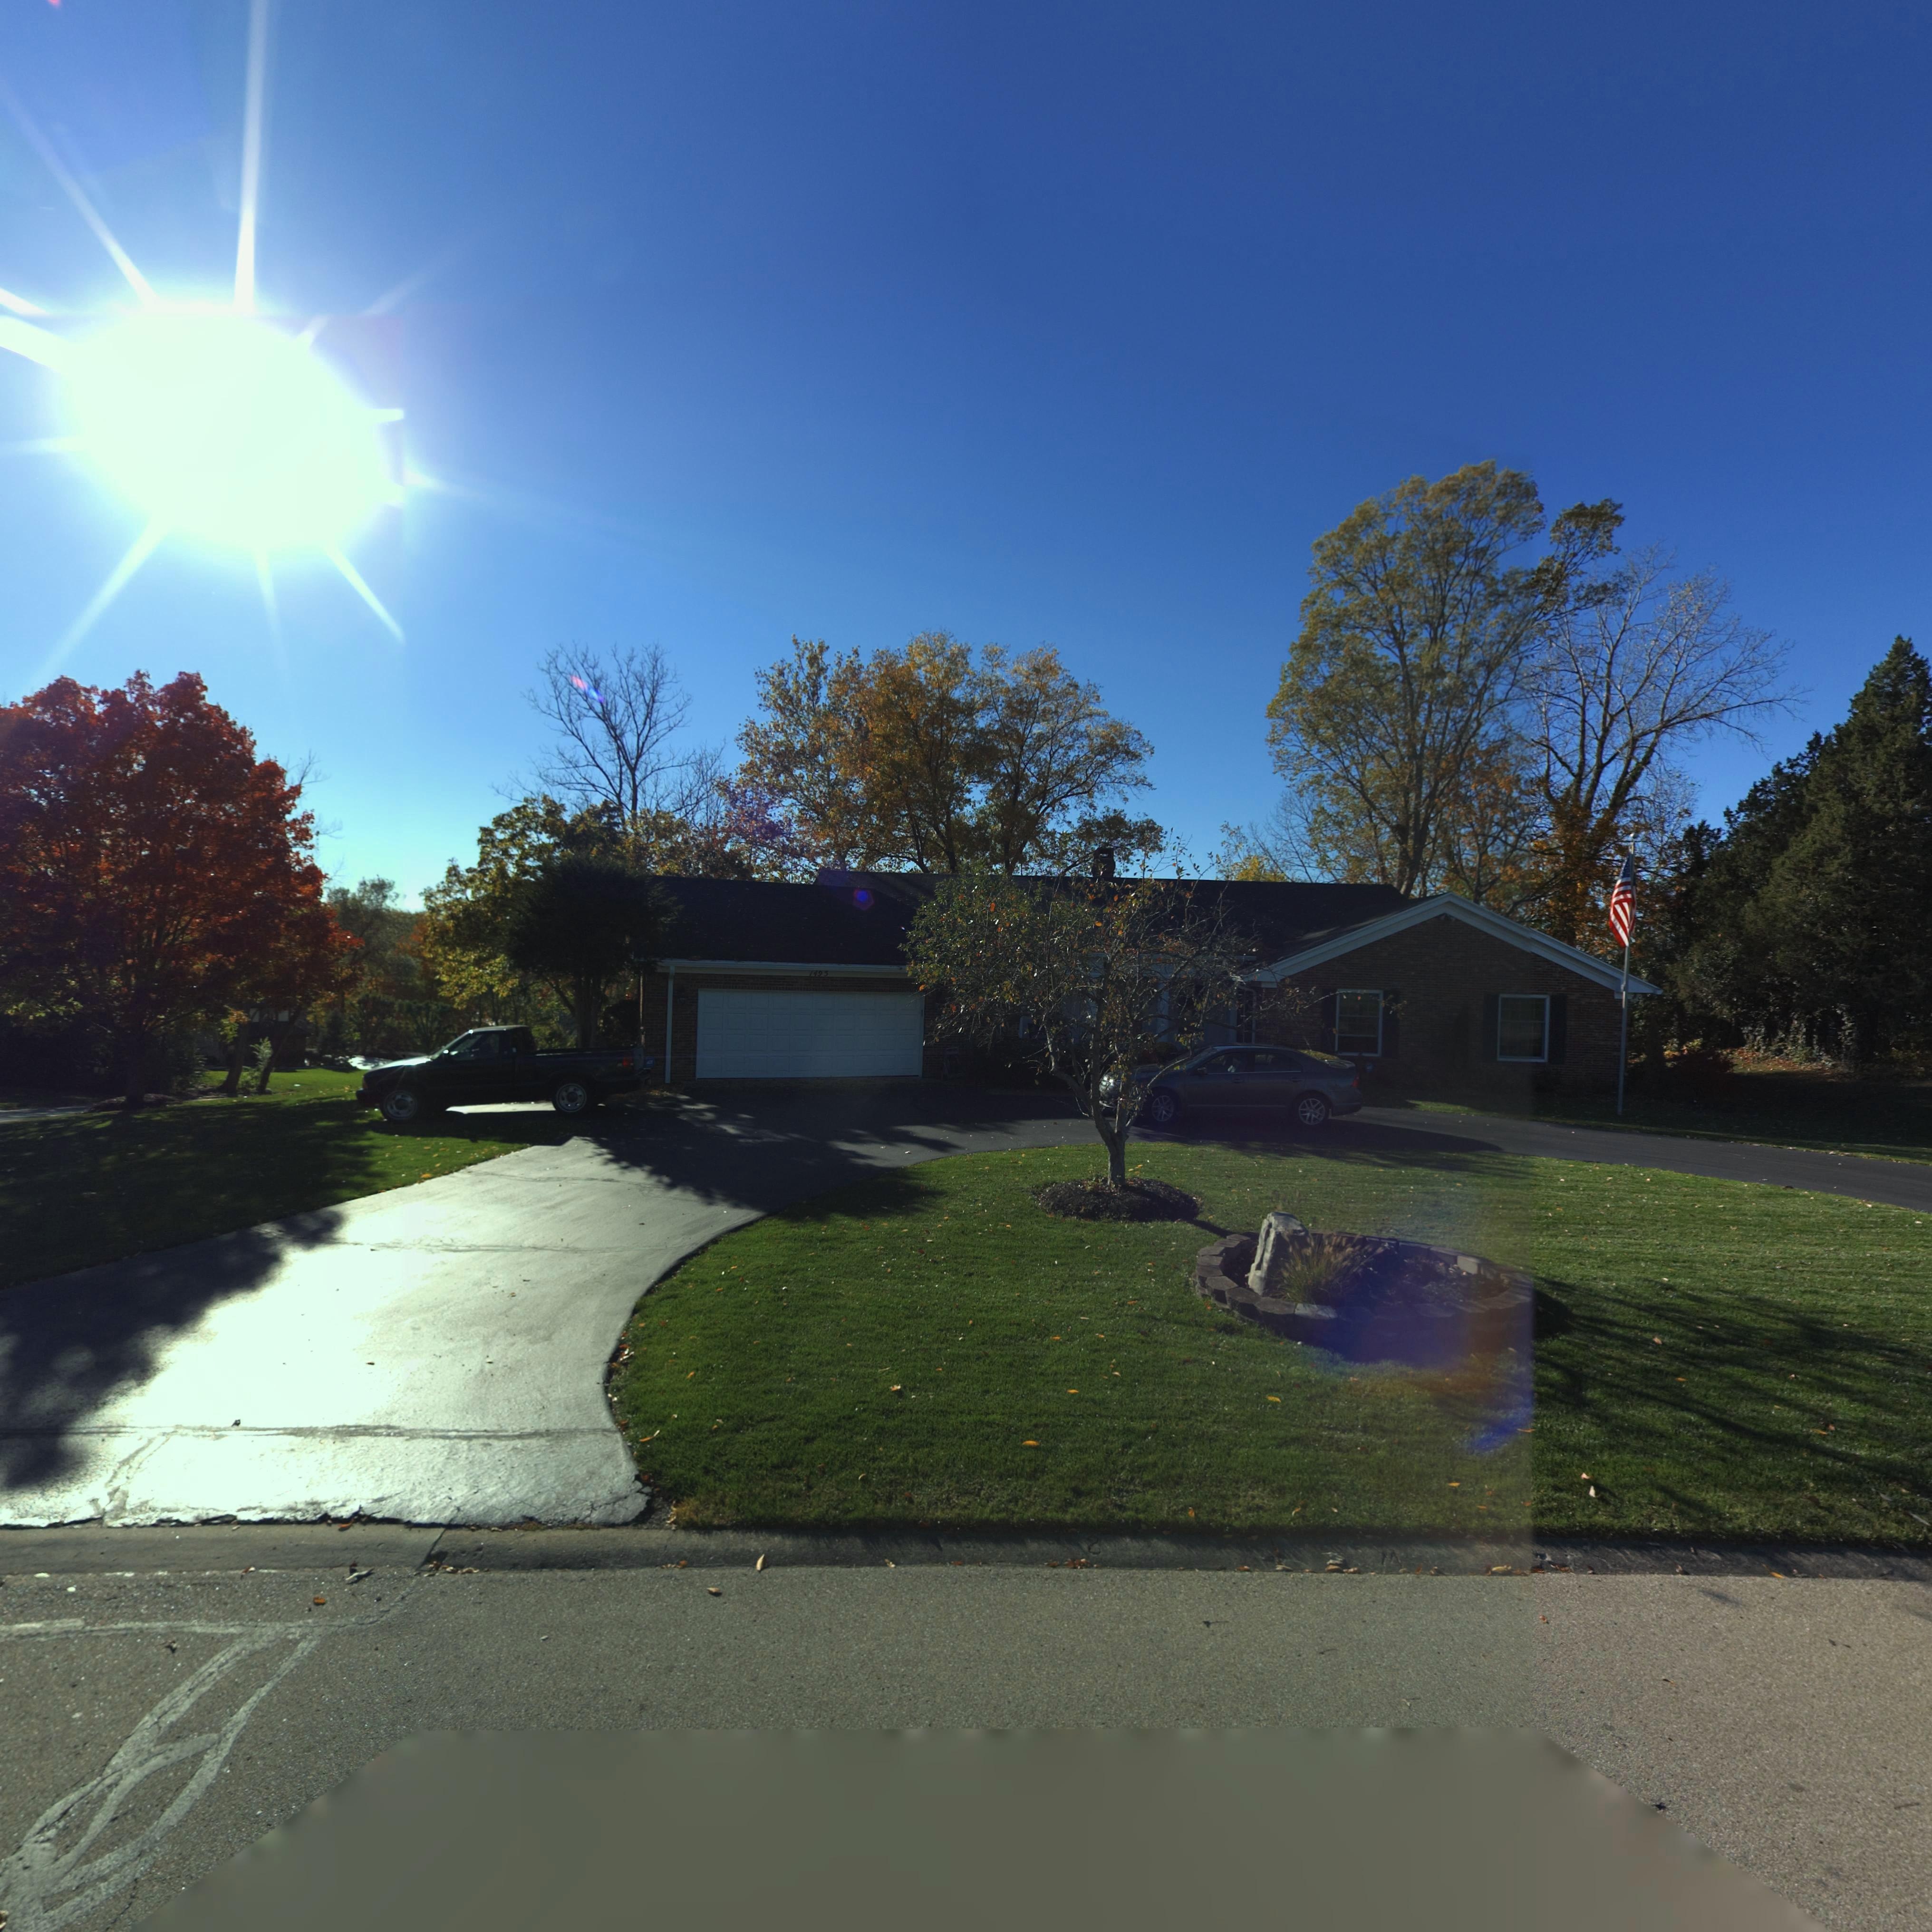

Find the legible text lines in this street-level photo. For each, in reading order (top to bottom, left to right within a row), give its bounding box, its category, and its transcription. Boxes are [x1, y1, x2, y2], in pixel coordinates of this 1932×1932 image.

[809, 970, 829, 976] StreetNumber: 1495